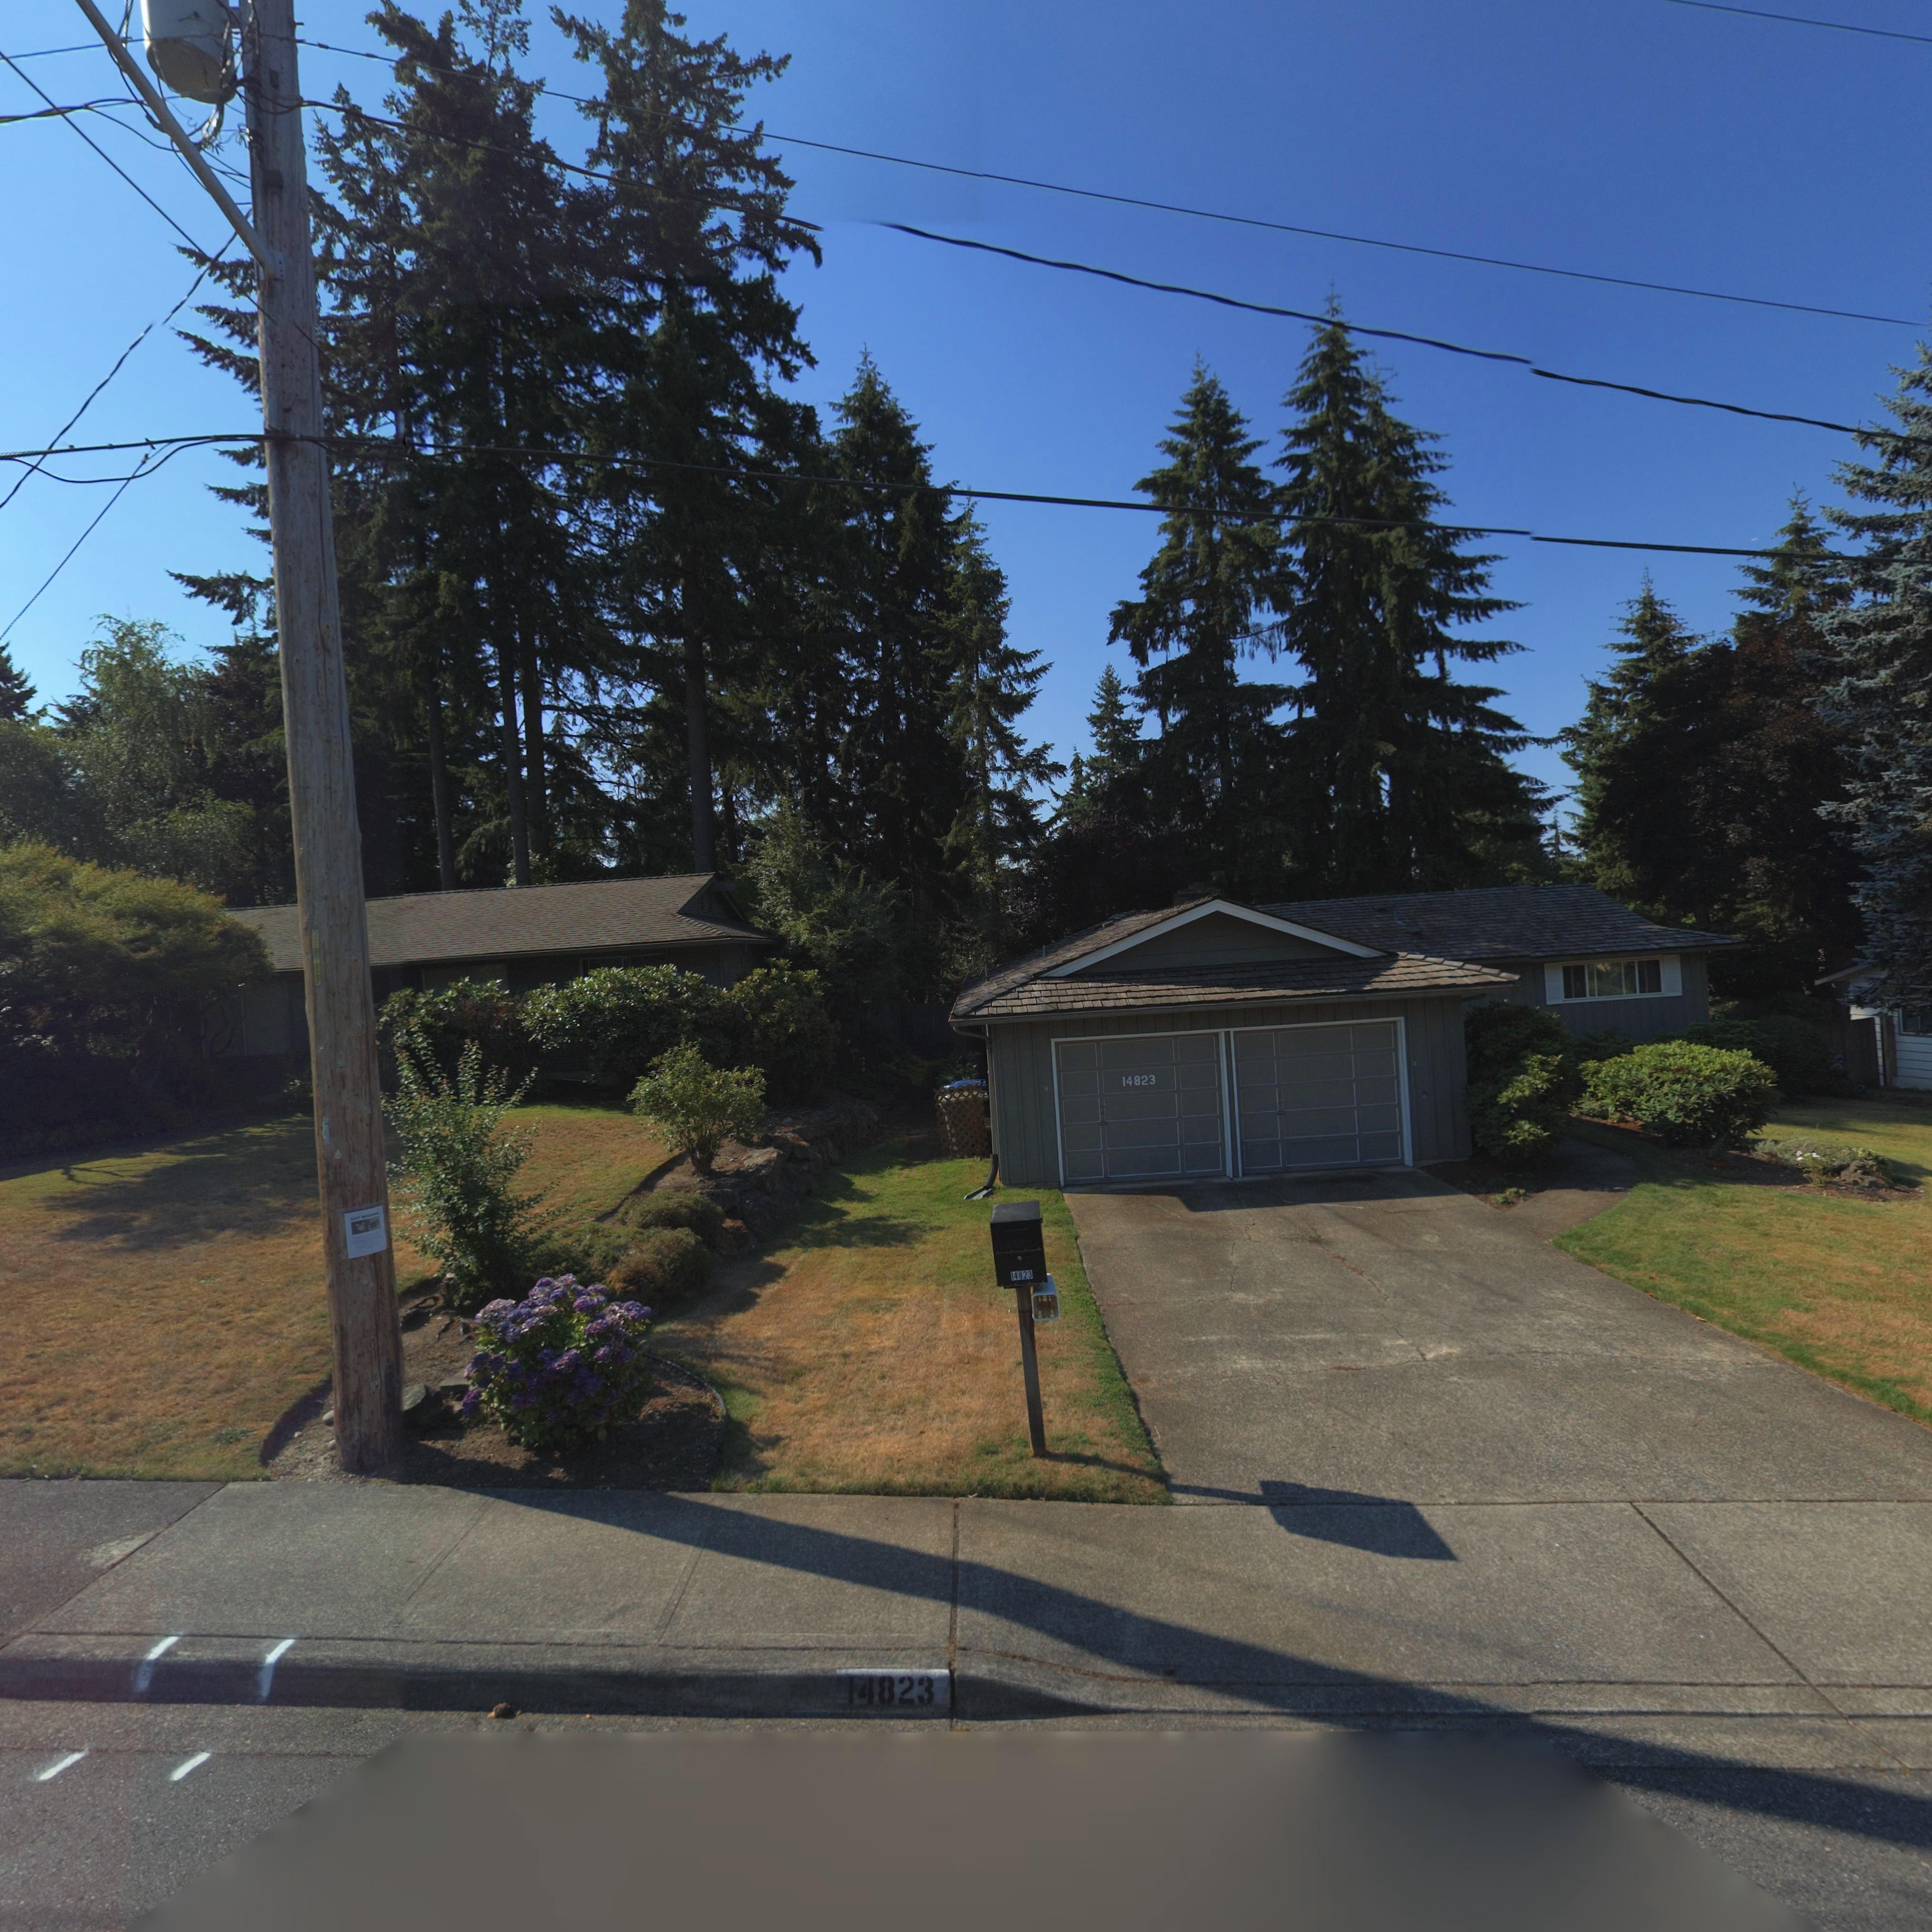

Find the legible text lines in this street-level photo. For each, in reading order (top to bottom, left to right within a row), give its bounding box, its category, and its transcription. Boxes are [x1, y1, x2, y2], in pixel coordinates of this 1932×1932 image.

[1123, 1075, 1155, 1085] StreetNumber: 14823
[1010, 1270, 1033, 1281] StreetNumber: 14823
[844, 1674, 936, 1708] StreetNumber: 14823